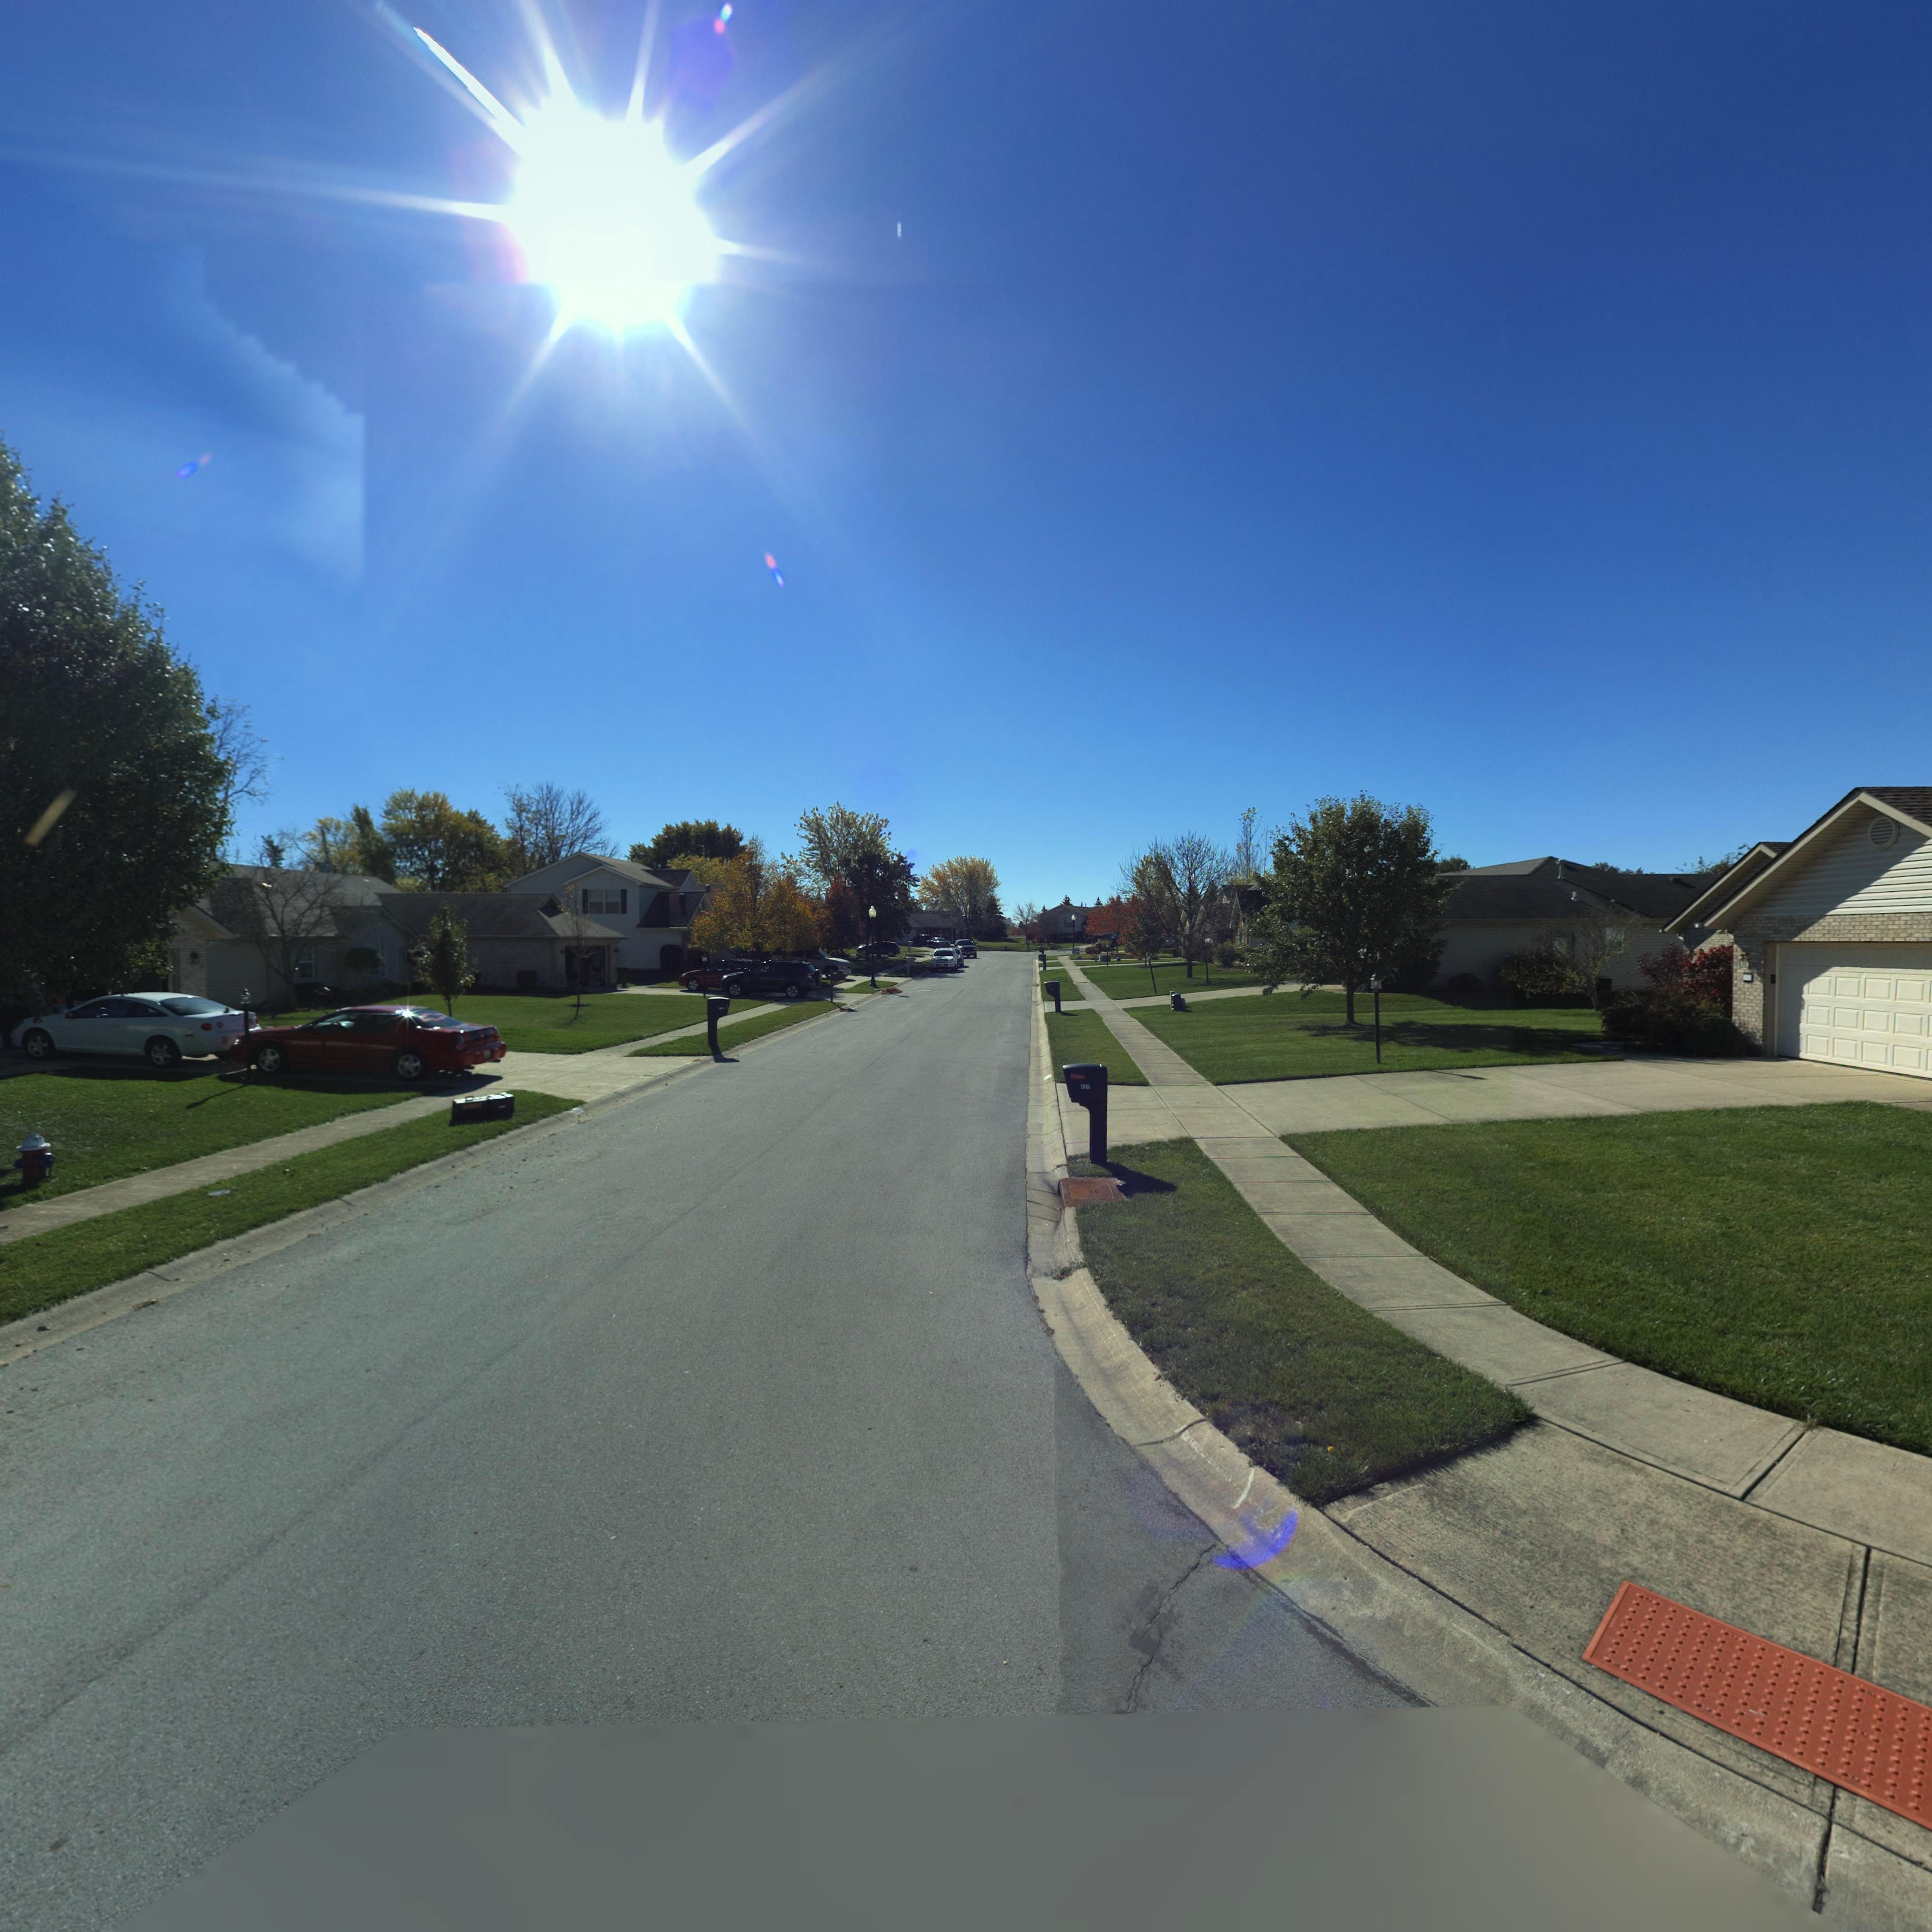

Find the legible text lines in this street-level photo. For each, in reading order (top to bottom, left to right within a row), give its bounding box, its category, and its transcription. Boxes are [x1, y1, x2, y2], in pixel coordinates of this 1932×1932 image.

[1081, 1084, 1090, 1089] StreetNumber: 421